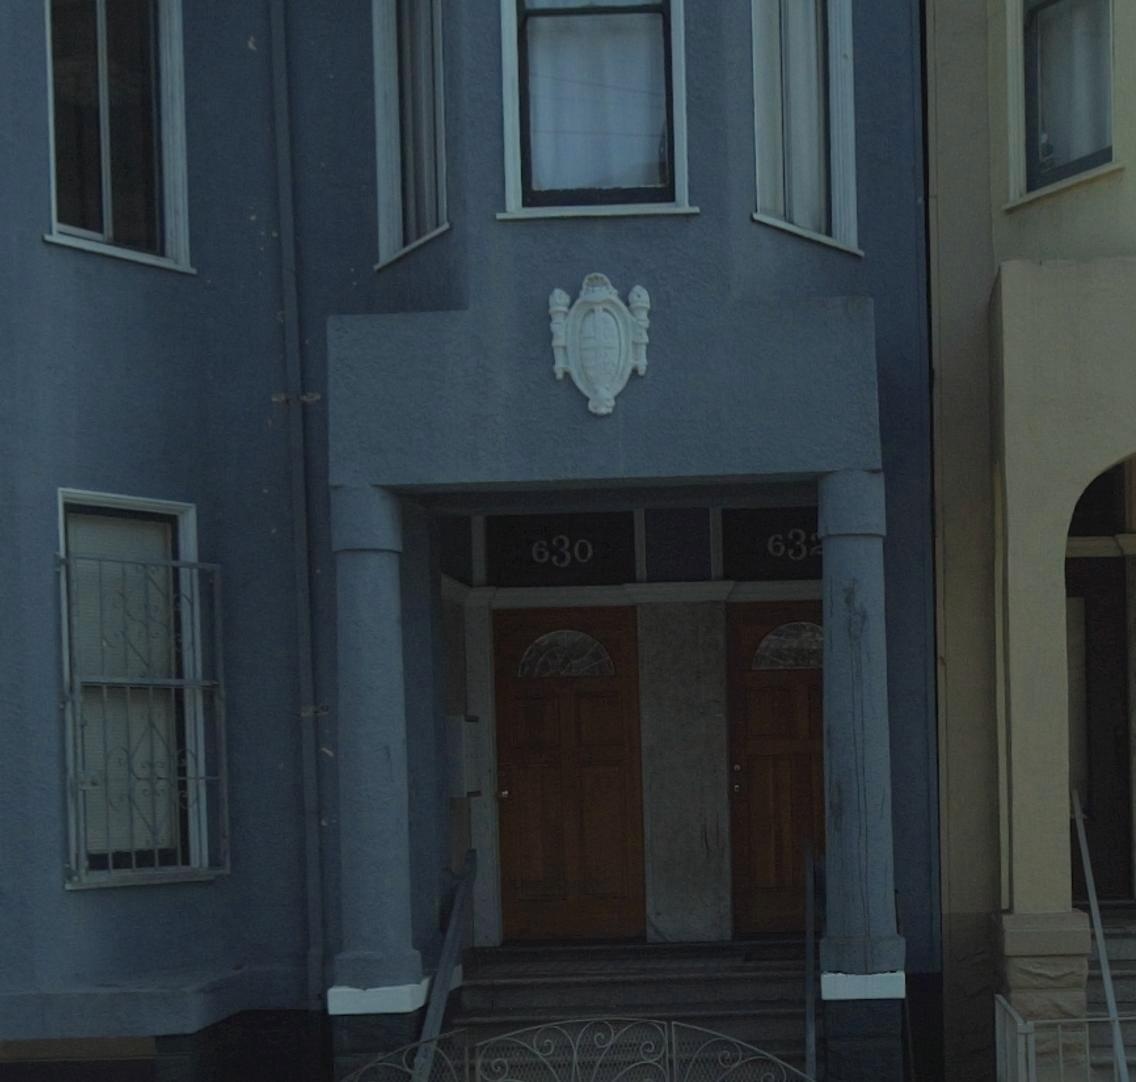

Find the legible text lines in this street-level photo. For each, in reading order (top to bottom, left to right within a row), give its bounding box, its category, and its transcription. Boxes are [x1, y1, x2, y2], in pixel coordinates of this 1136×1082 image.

[530, 532, 595, 571] StreetNumber: 630
[762, 525, 812, 565] StreetNumber: 63